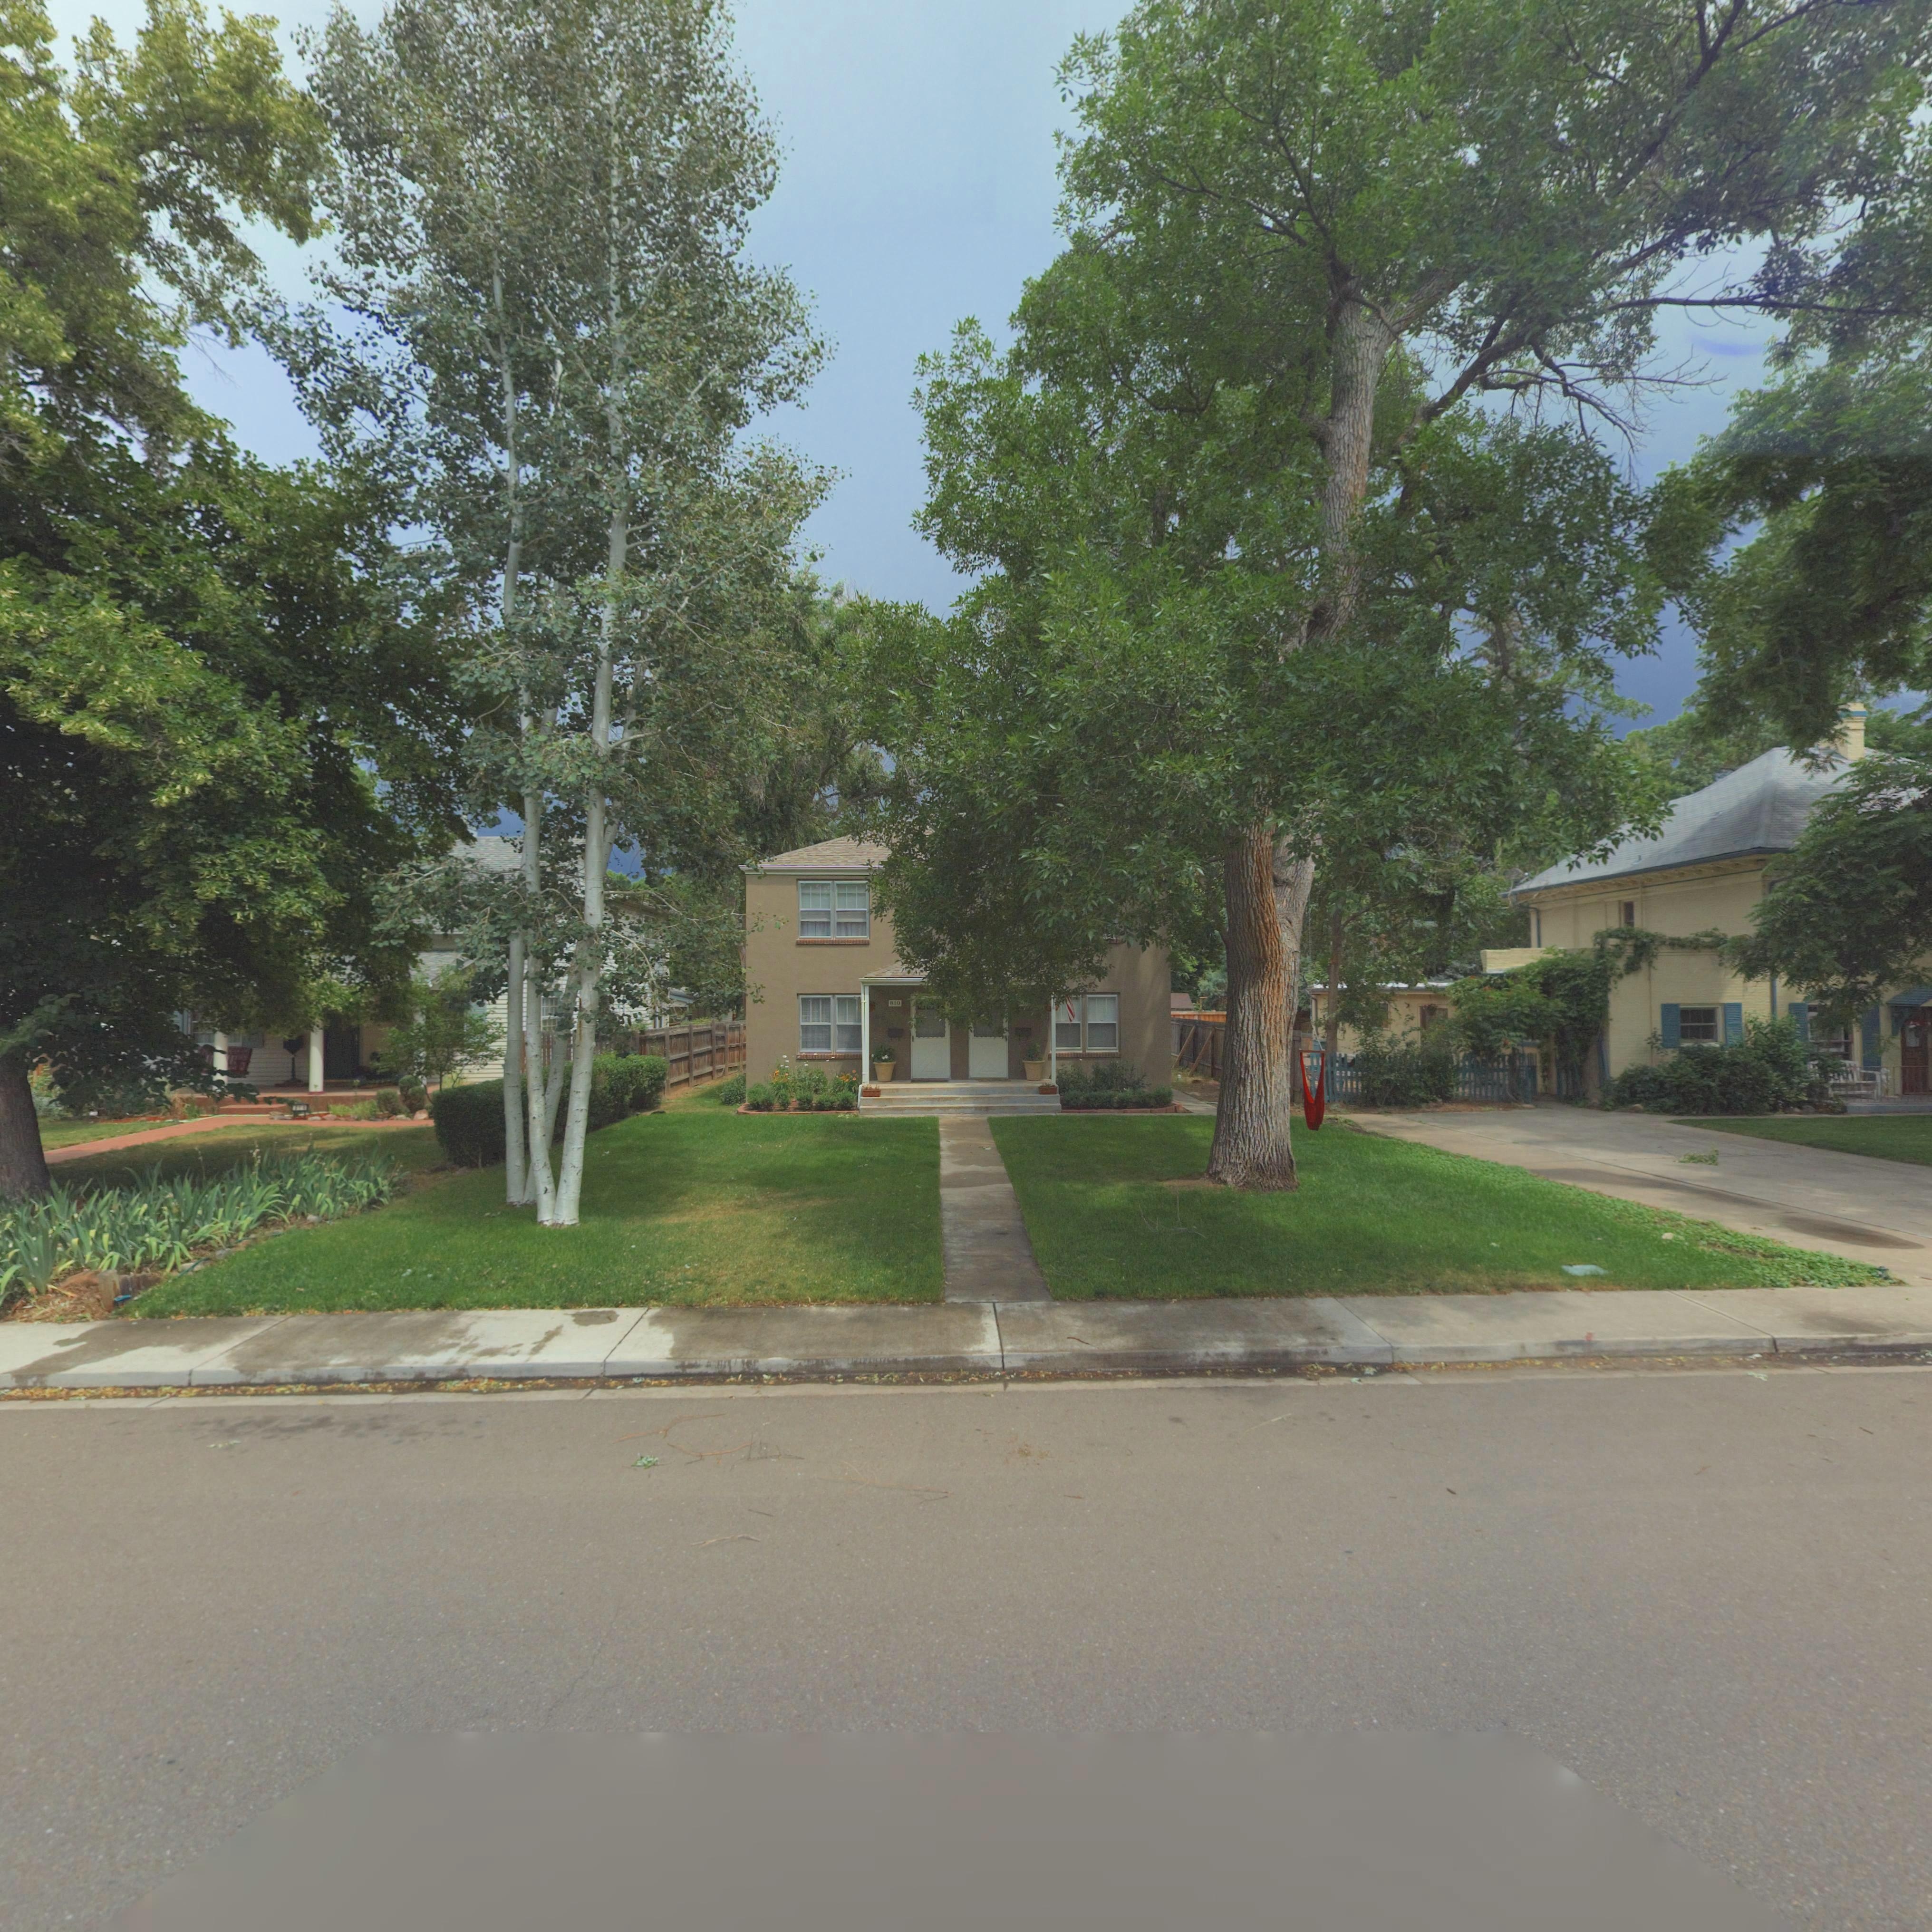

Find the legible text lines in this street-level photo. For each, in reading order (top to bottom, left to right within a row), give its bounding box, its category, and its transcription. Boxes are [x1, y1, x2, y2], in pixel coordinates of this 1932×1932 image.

[889, 1000, 900, 1005] StreetNumber: 810
[293, 1105, 306, 1110] StreetNumber: **4